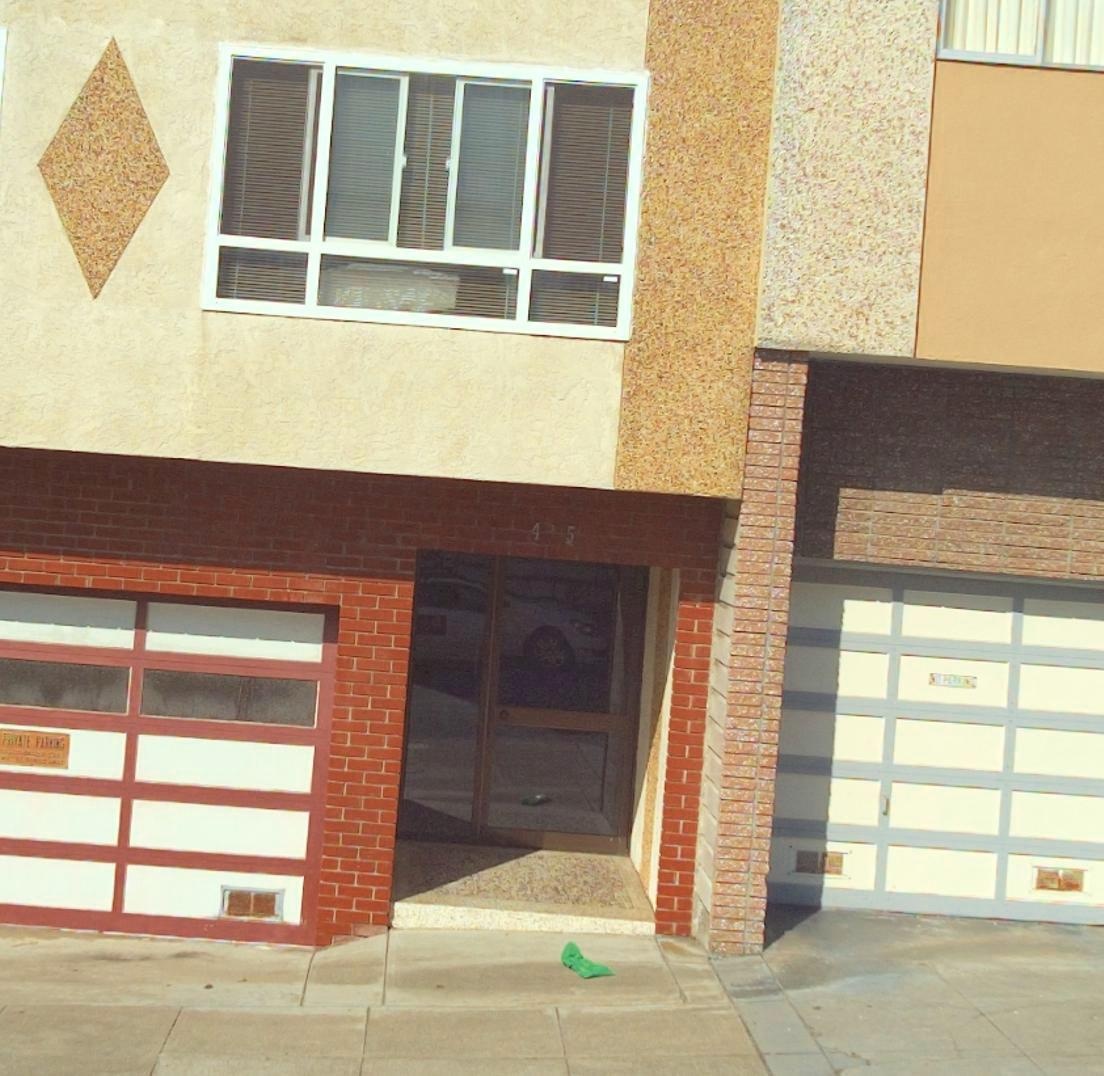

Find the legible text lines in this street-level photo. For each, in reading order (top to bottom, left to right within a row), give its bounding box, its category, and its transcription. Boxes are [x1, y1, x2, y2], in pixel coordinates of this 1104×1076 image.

[527, 519, 576, 548] StreetNumber: 435